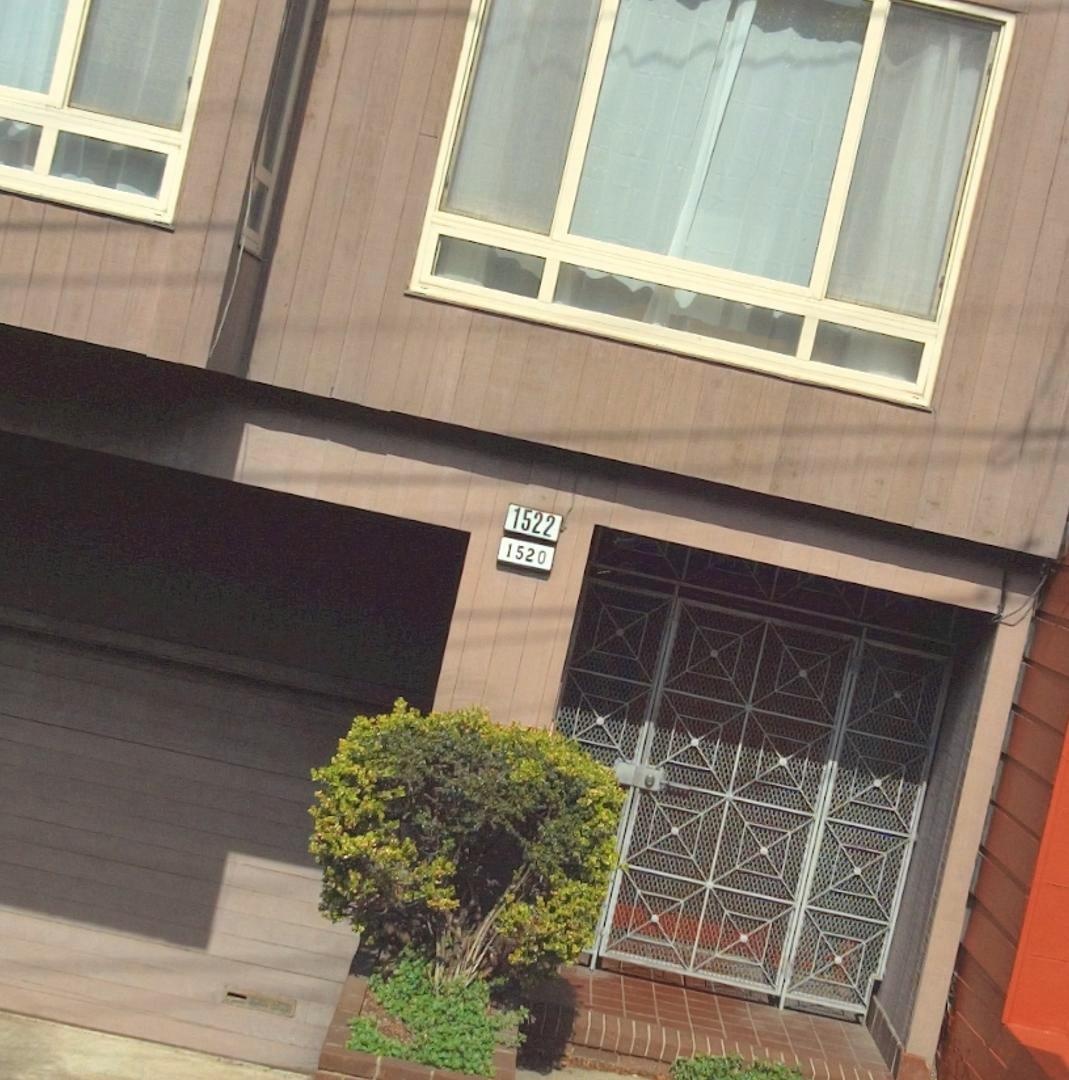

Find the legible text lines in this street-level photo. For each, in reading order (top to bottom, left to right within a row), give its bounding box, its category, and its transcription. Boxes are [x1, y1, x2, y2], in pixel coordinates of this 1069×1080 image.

[511, 506, 558, 539] StreetNumber: 1522
[505, 541, 548, 565] StreetNumber: 1520